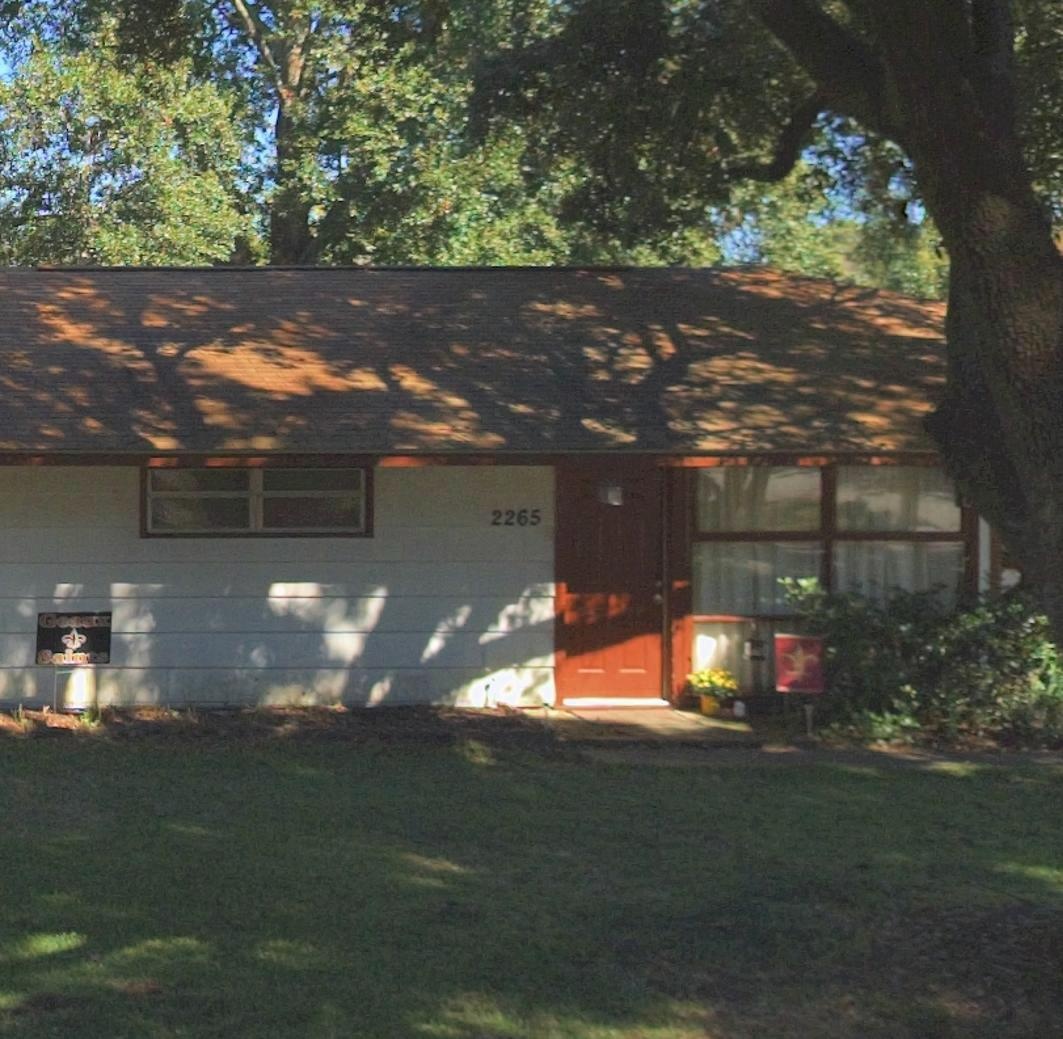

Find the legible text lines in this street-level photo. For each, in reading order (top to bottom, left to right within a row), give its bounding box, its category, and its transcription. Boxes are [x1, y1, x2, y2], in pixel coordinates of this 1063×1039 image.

[490, 508, 543, 529] StreetNumber: 2265